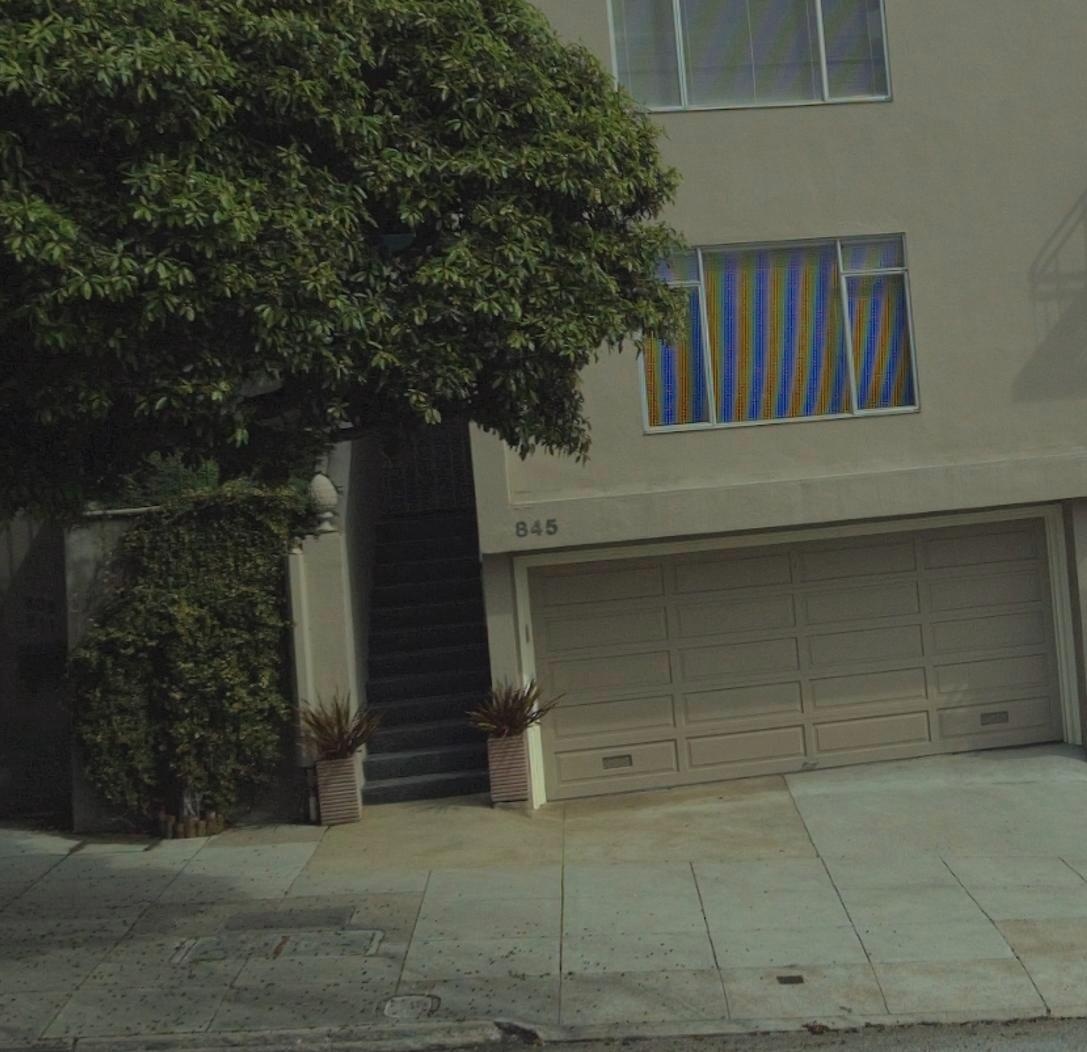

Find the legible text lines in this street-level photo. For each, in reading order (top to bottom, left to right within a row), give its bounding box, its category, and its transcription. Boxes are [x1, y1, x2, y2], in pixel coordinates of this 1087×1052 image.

[514, 517, 559, 538] StreetNumber: 845